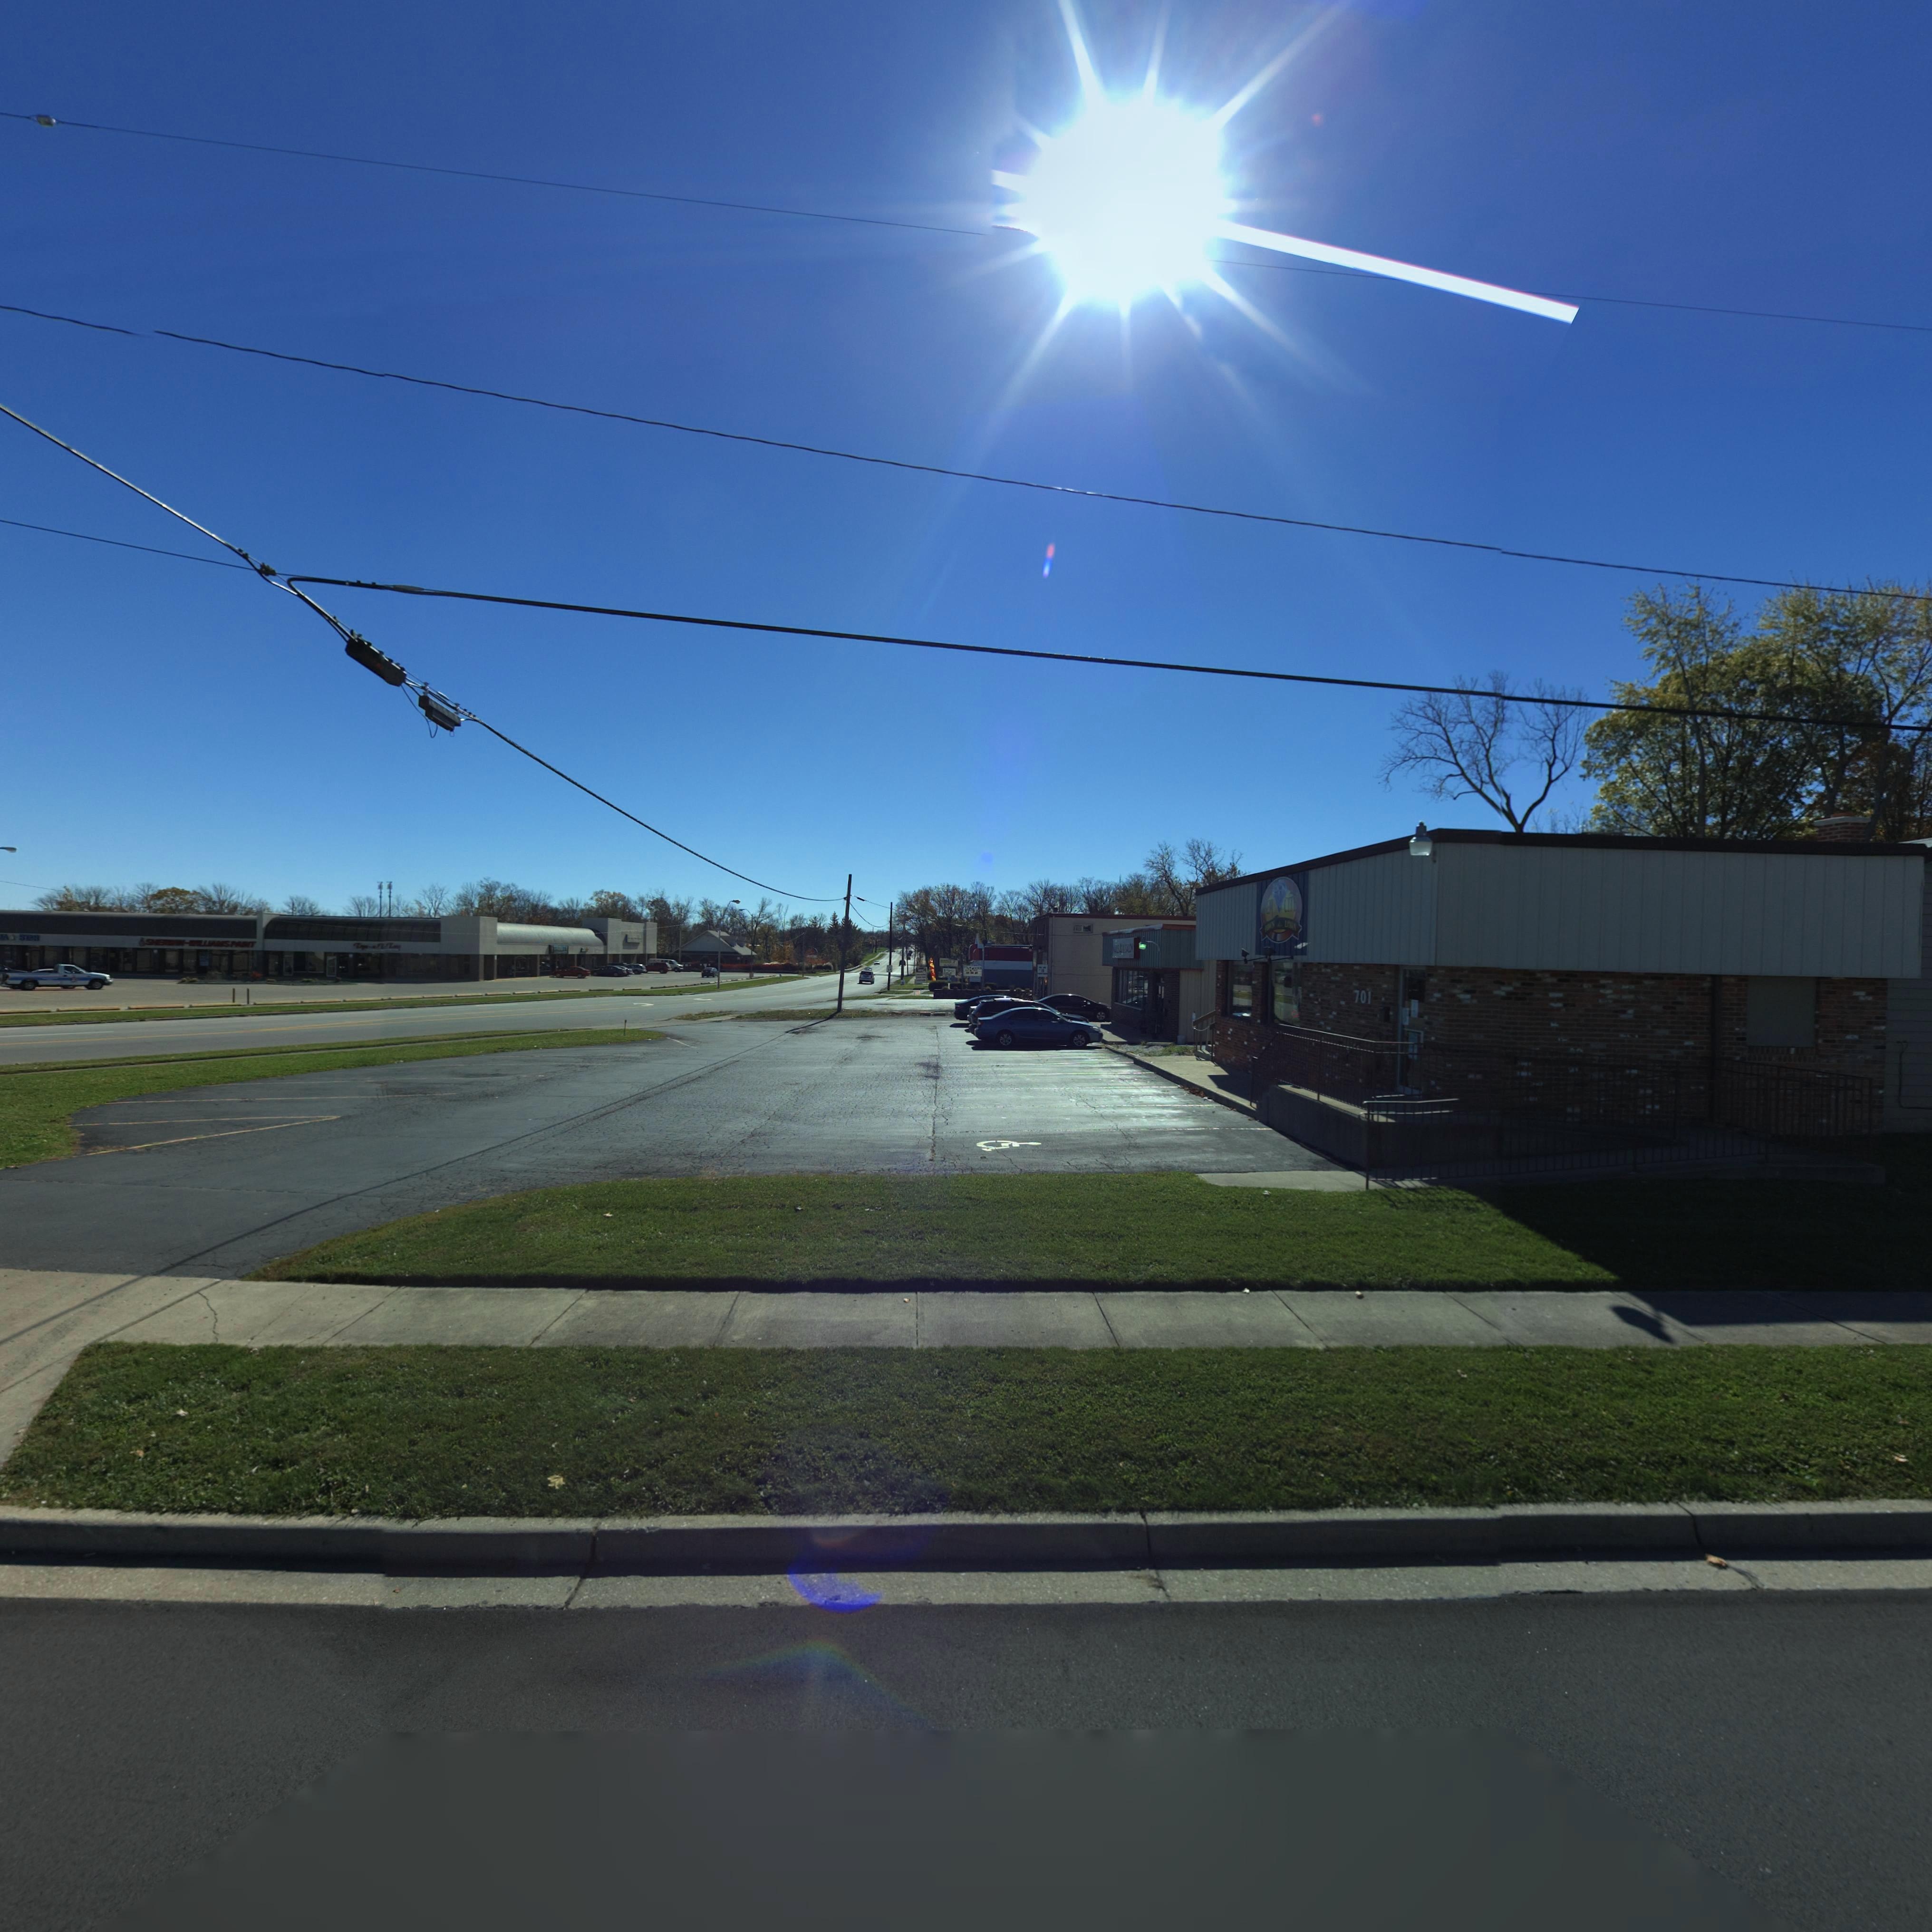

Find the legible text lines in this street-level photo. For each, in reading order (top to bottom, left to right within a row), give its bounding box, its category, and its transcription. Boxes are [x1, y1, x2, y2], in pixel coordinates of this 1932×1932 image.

[1353, 989, 1372, 1005] StreetNumber: 701